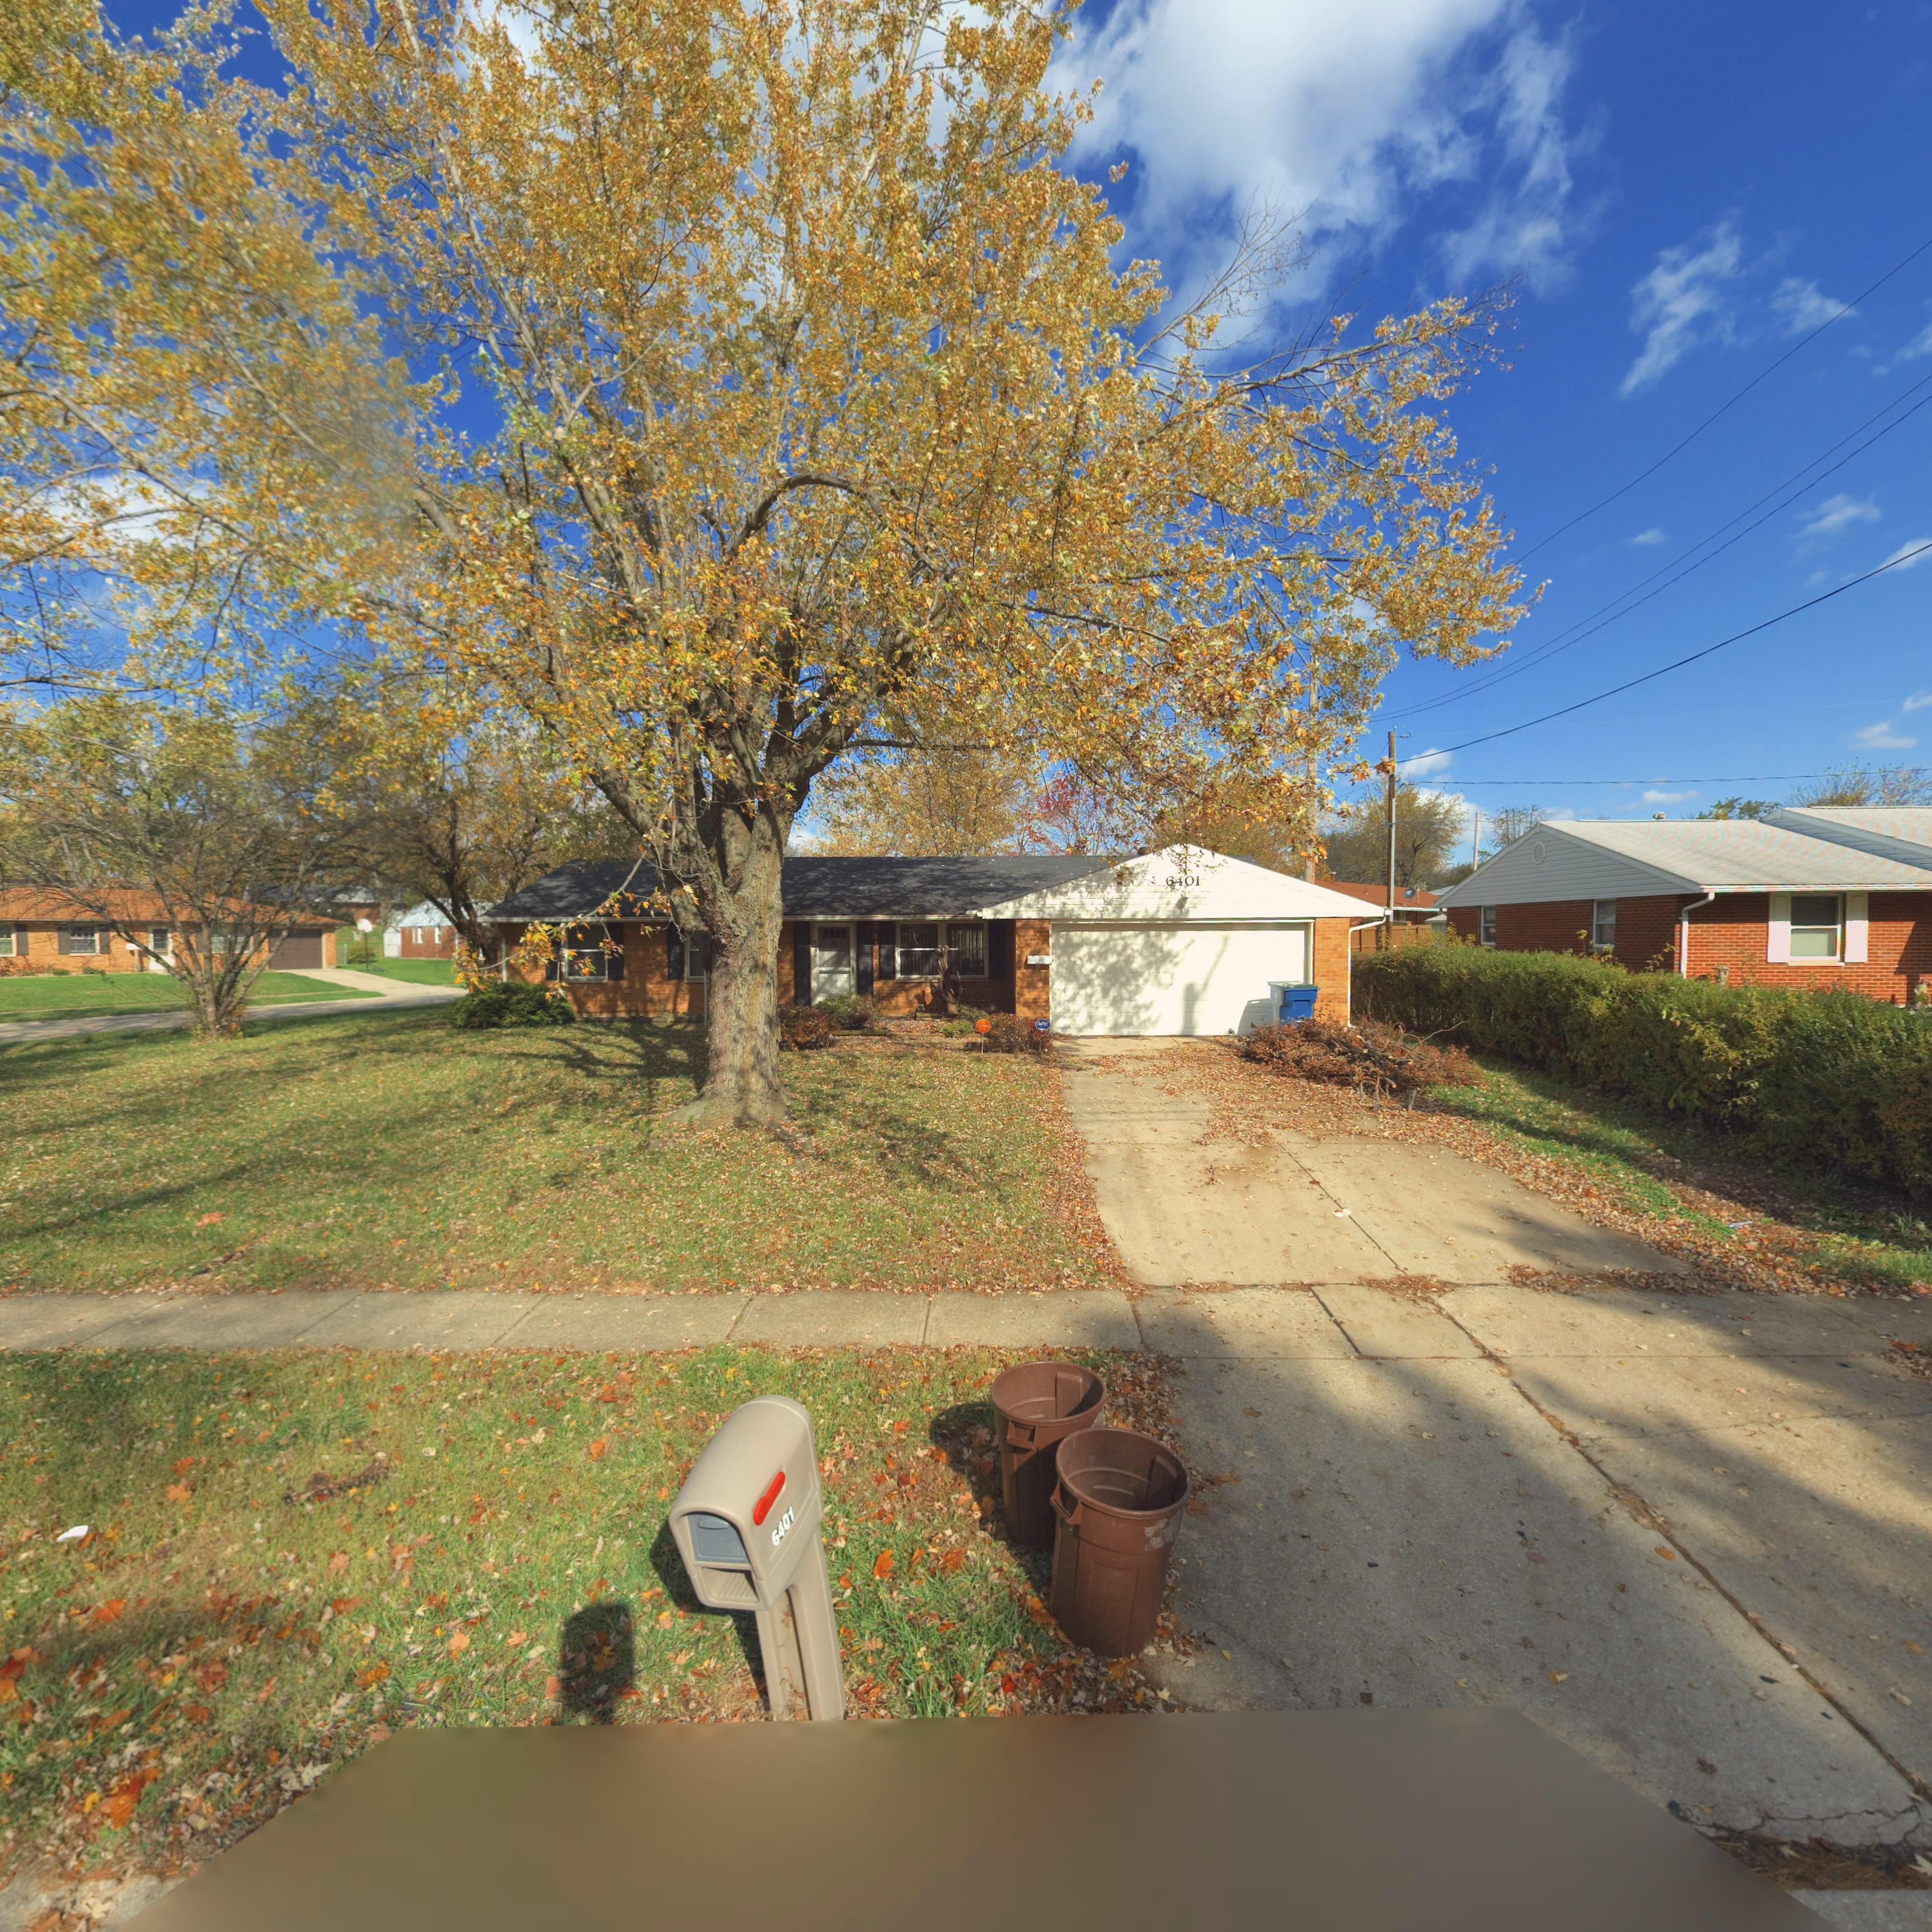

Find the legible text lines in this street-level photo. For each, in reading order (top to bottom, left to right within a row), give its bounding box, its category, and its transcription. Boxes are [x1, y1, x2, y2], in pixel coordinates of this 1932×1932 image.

[1165, 875, 1200, 887] StreetNumber: 6401
[813, 939, 818, 958] StreetNumber: 6401
[770, 1504, 795, 1547] StreetNumber: 6401